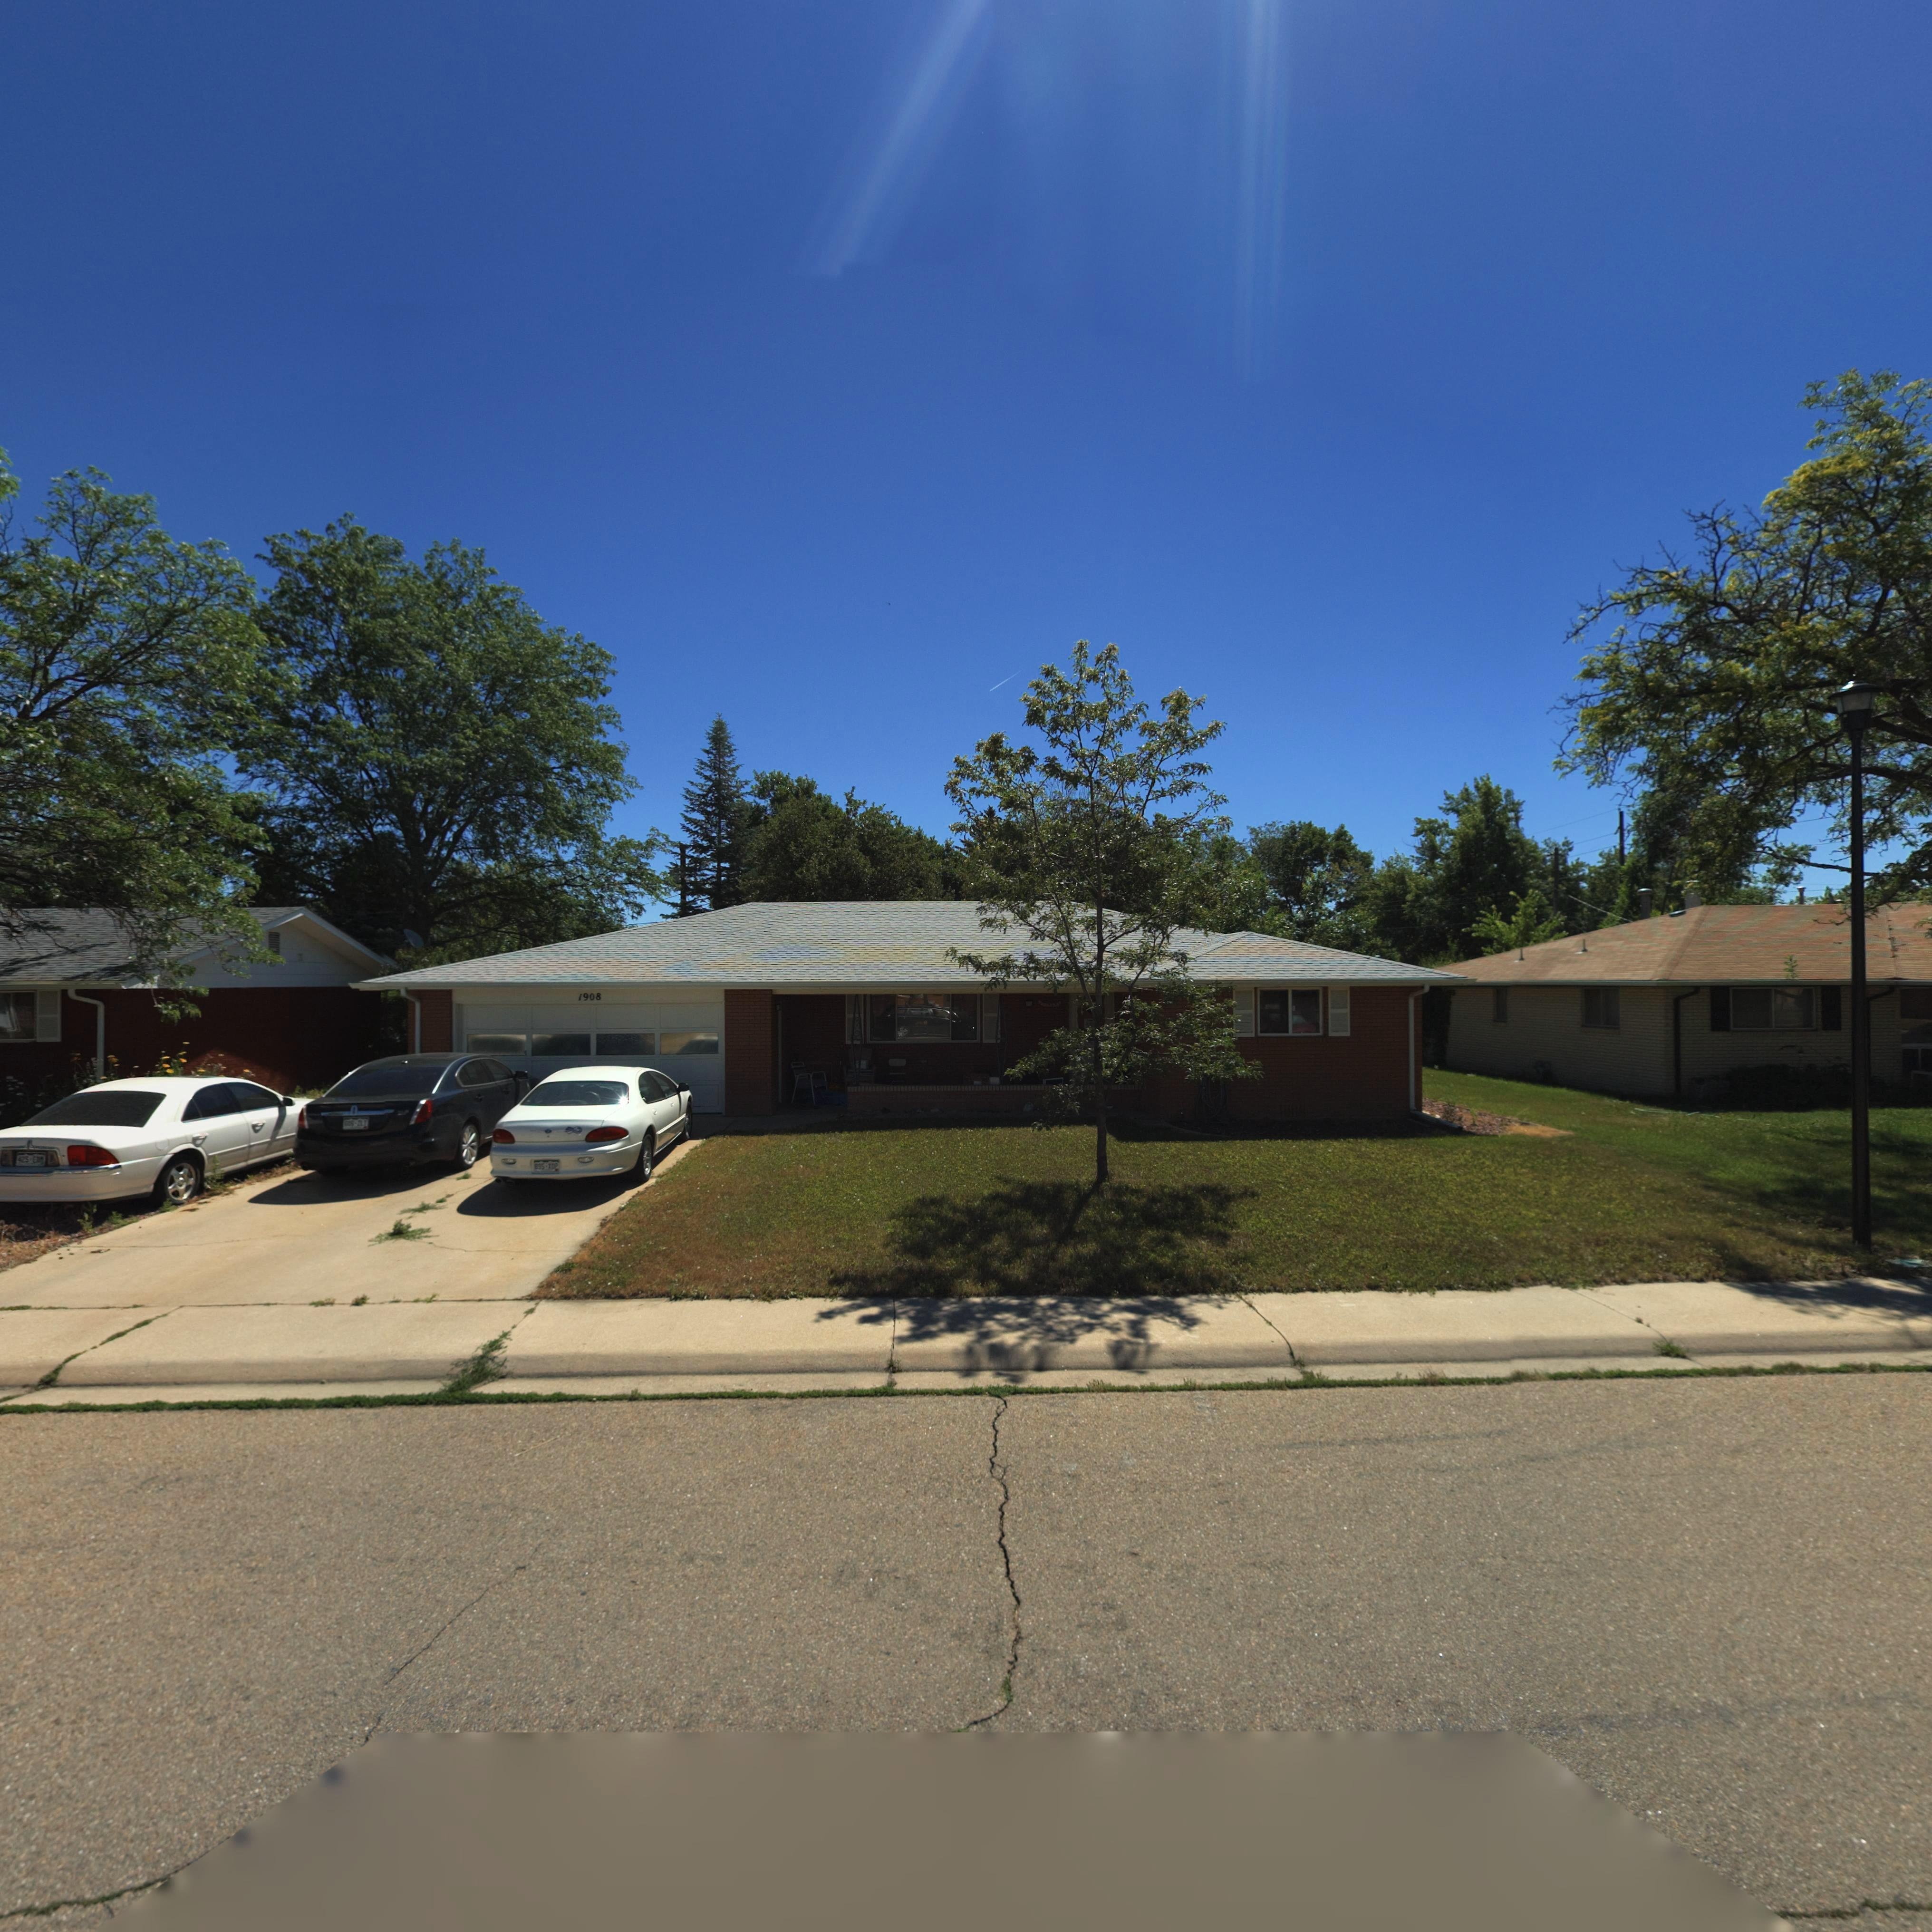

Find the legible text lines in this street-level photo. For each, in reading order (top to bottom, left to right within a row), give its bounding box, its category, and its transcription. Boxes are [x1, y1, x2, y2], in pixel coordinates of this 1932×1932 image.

[577, 992, 601, 1001] StreetNumber: 1908